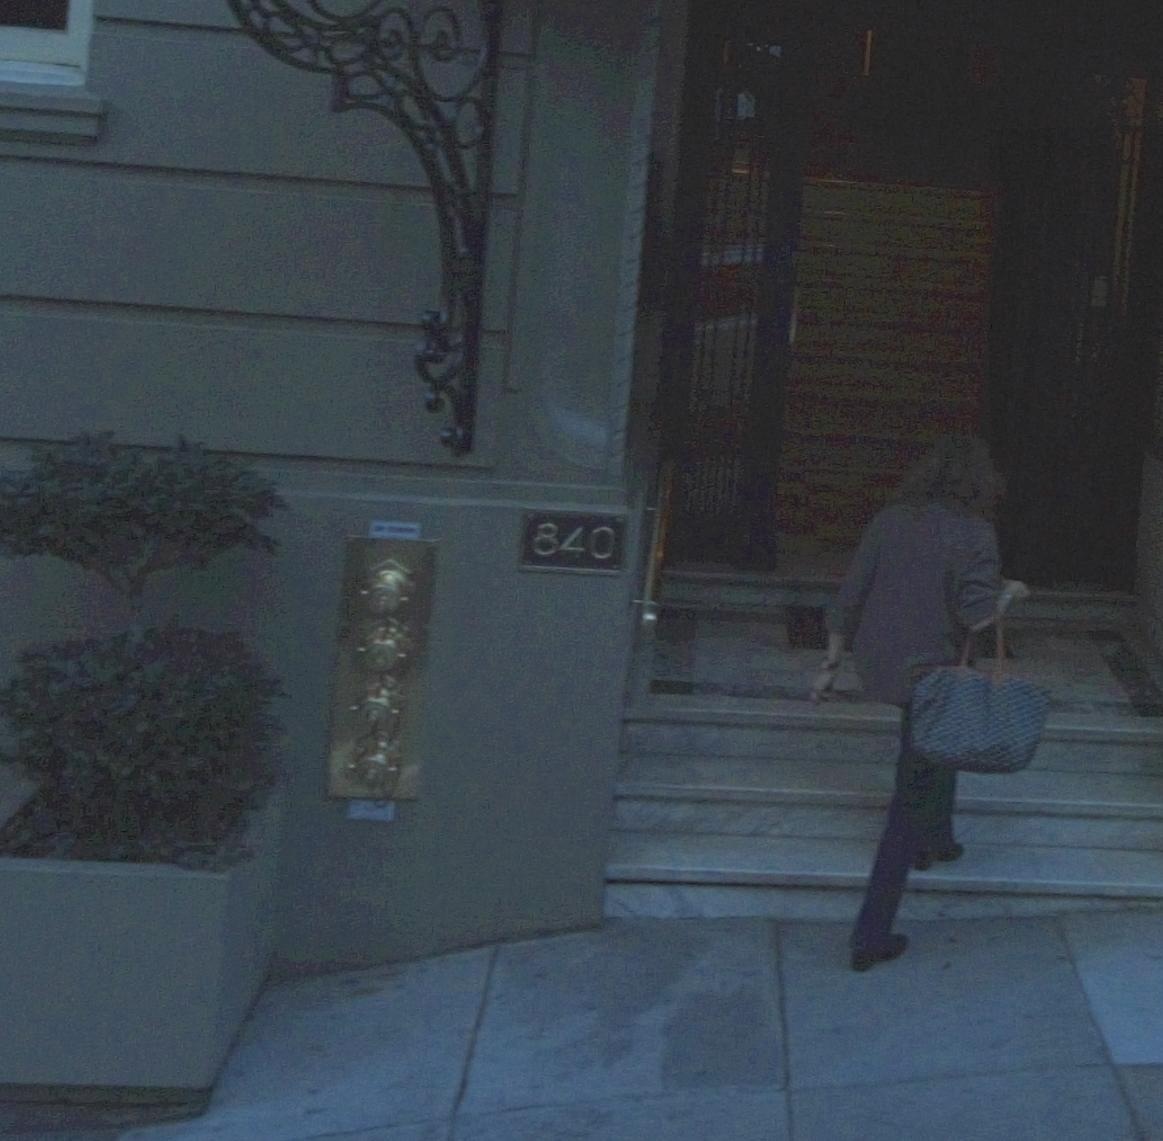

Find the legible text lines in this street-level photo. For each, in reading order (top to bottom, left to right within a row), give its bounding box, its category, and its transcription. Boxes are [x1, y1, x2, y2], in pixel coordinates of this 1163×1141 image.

[529, 516, 619, 563] StreetNumber: 840